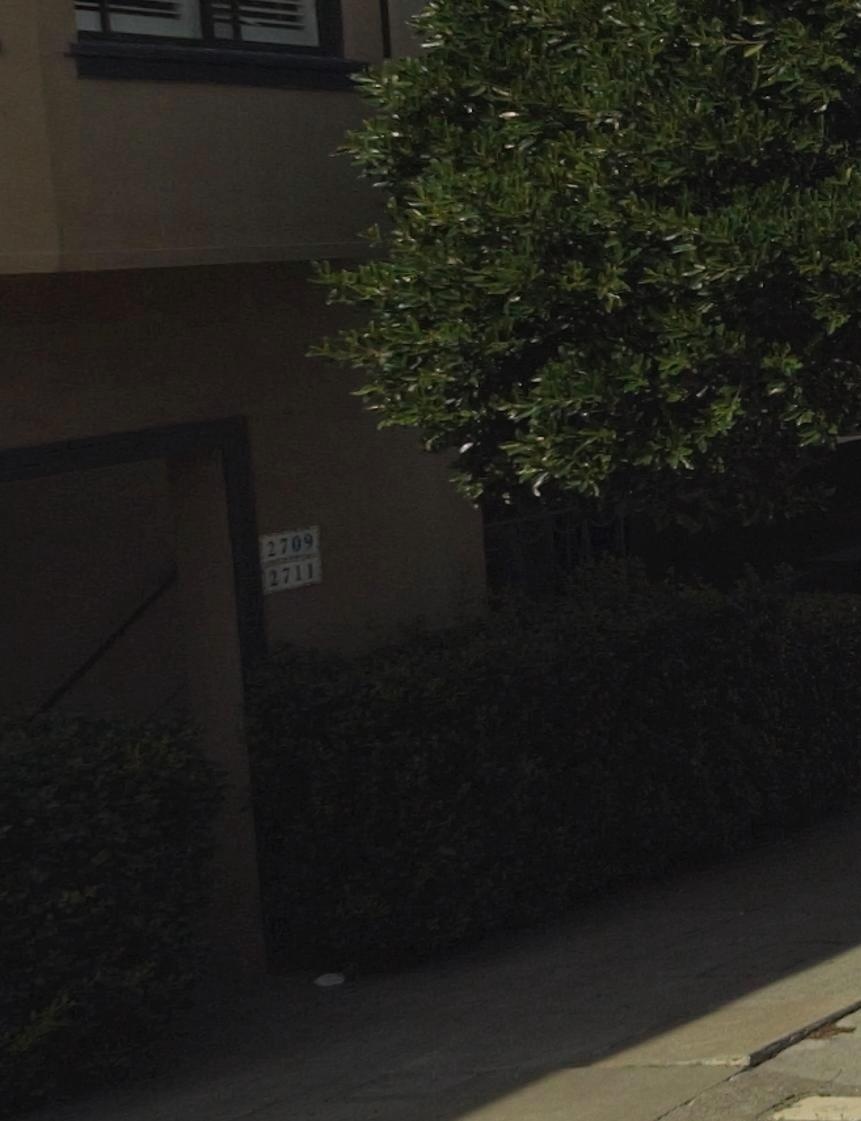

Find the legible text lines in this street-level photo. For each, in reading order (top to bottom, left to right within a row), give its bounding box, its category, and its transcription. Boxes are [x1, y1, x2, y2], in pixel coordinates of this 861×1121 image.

[264, 529, 316, 562] StreetNumber: 2709
[267, 558, 316, 591] StreetNumber: 2711